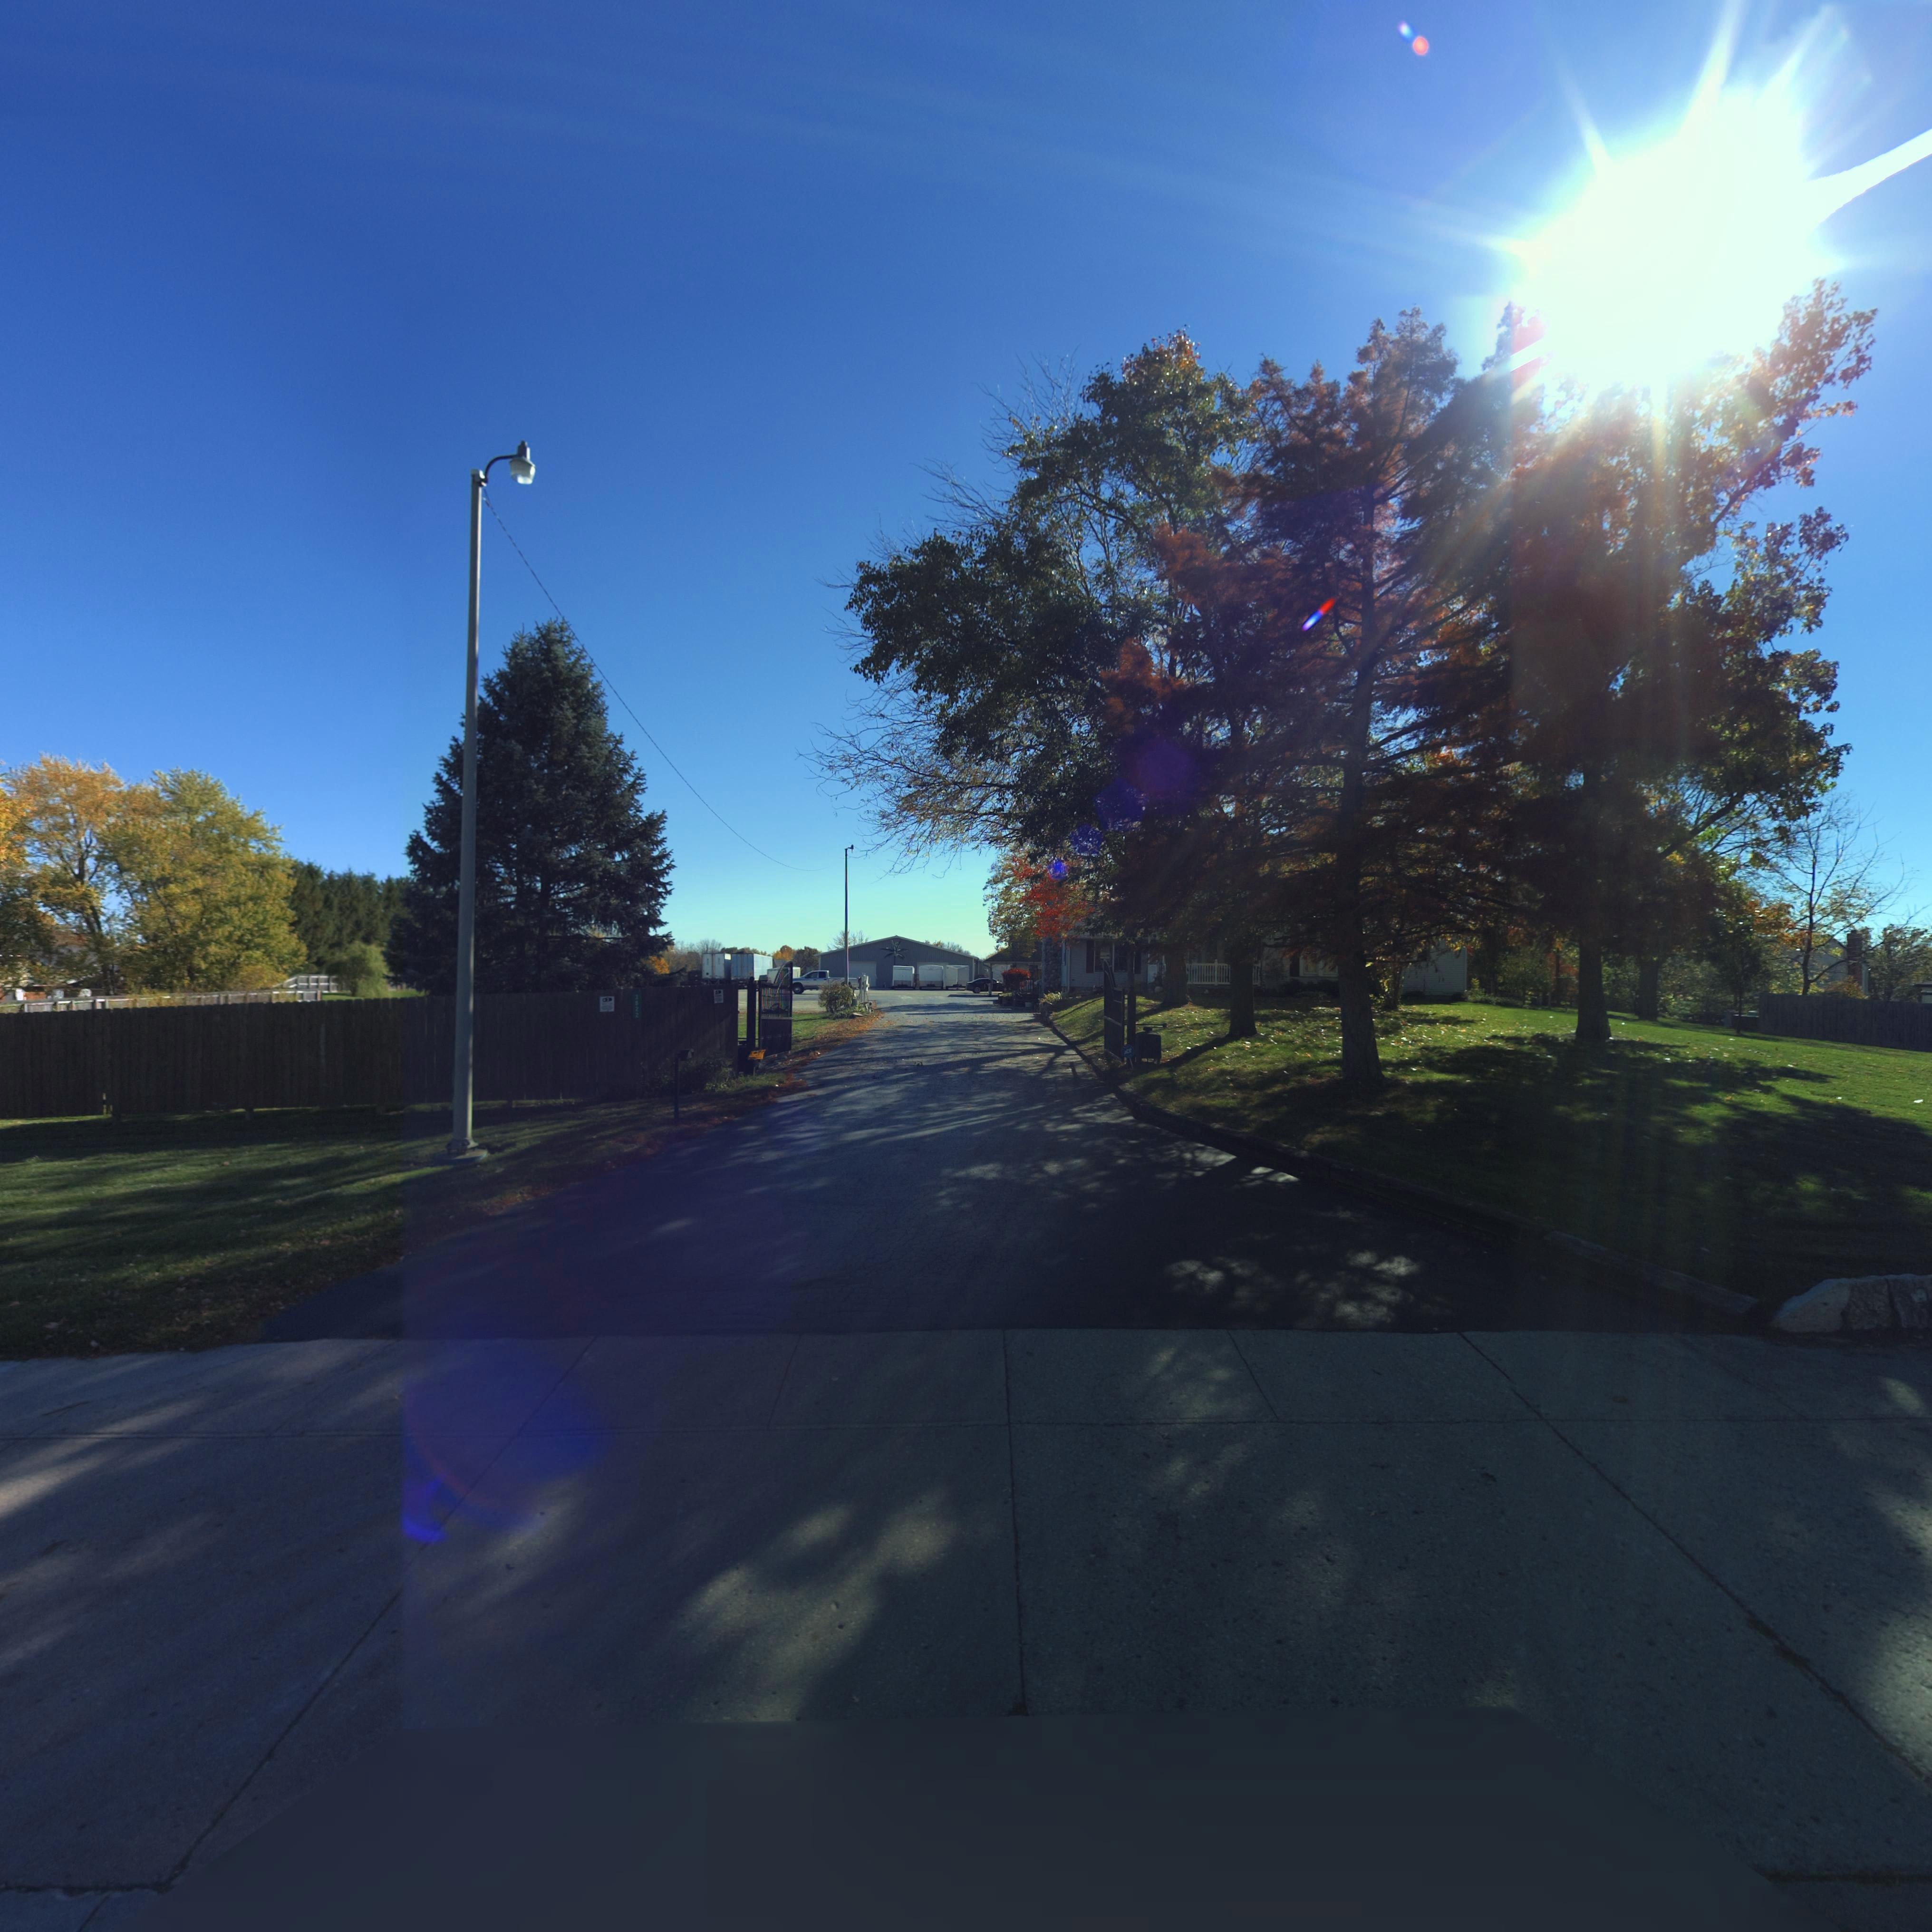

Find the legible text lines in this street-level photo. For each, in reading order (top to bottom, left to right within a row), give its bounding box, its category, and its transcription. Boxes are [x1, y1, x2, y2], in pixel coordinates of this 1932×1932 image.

[634, 994, 639, 1018] StreetNumber: 3822